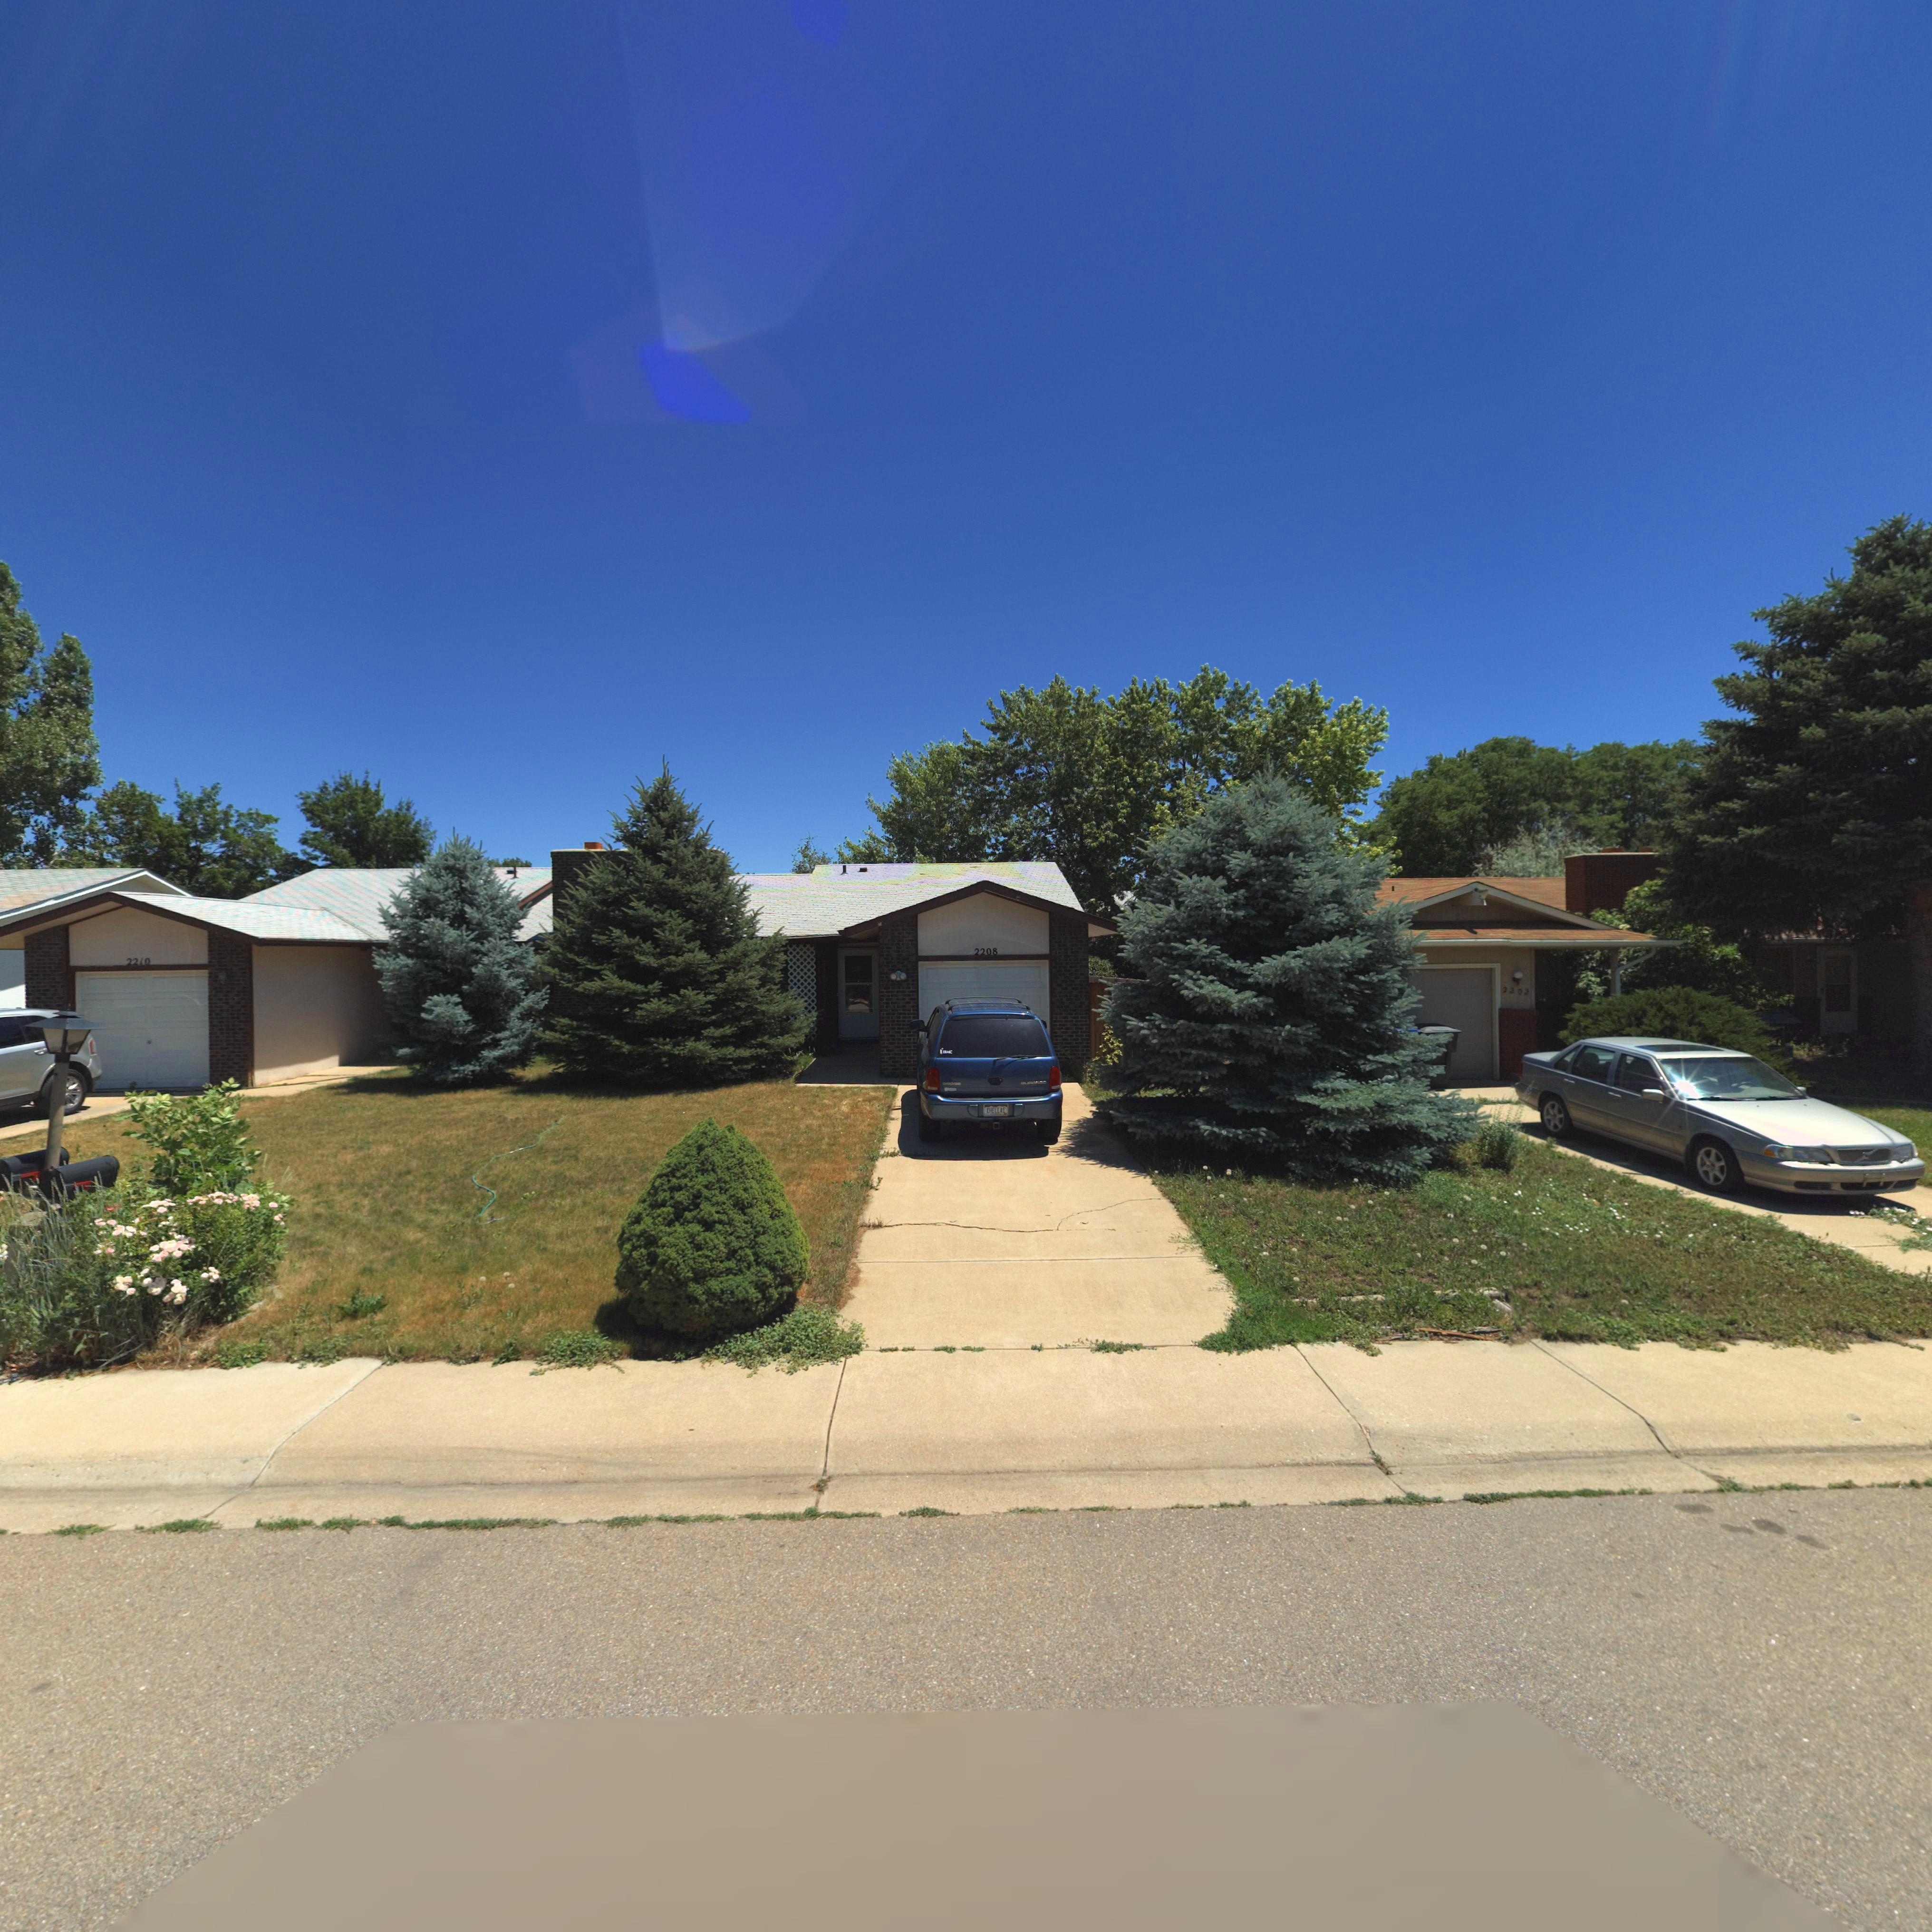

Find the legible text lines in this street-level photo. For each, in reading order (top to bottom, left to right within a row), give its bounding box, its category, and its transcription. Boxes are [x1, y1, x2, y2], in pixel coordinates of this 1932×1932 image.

[974, 947, 998, 955] StreetNumber: 2208
[126, 957, 151, 966] StreetNumber: 2210
[1502, 985, 1530, 995] StreetNumber: 2202